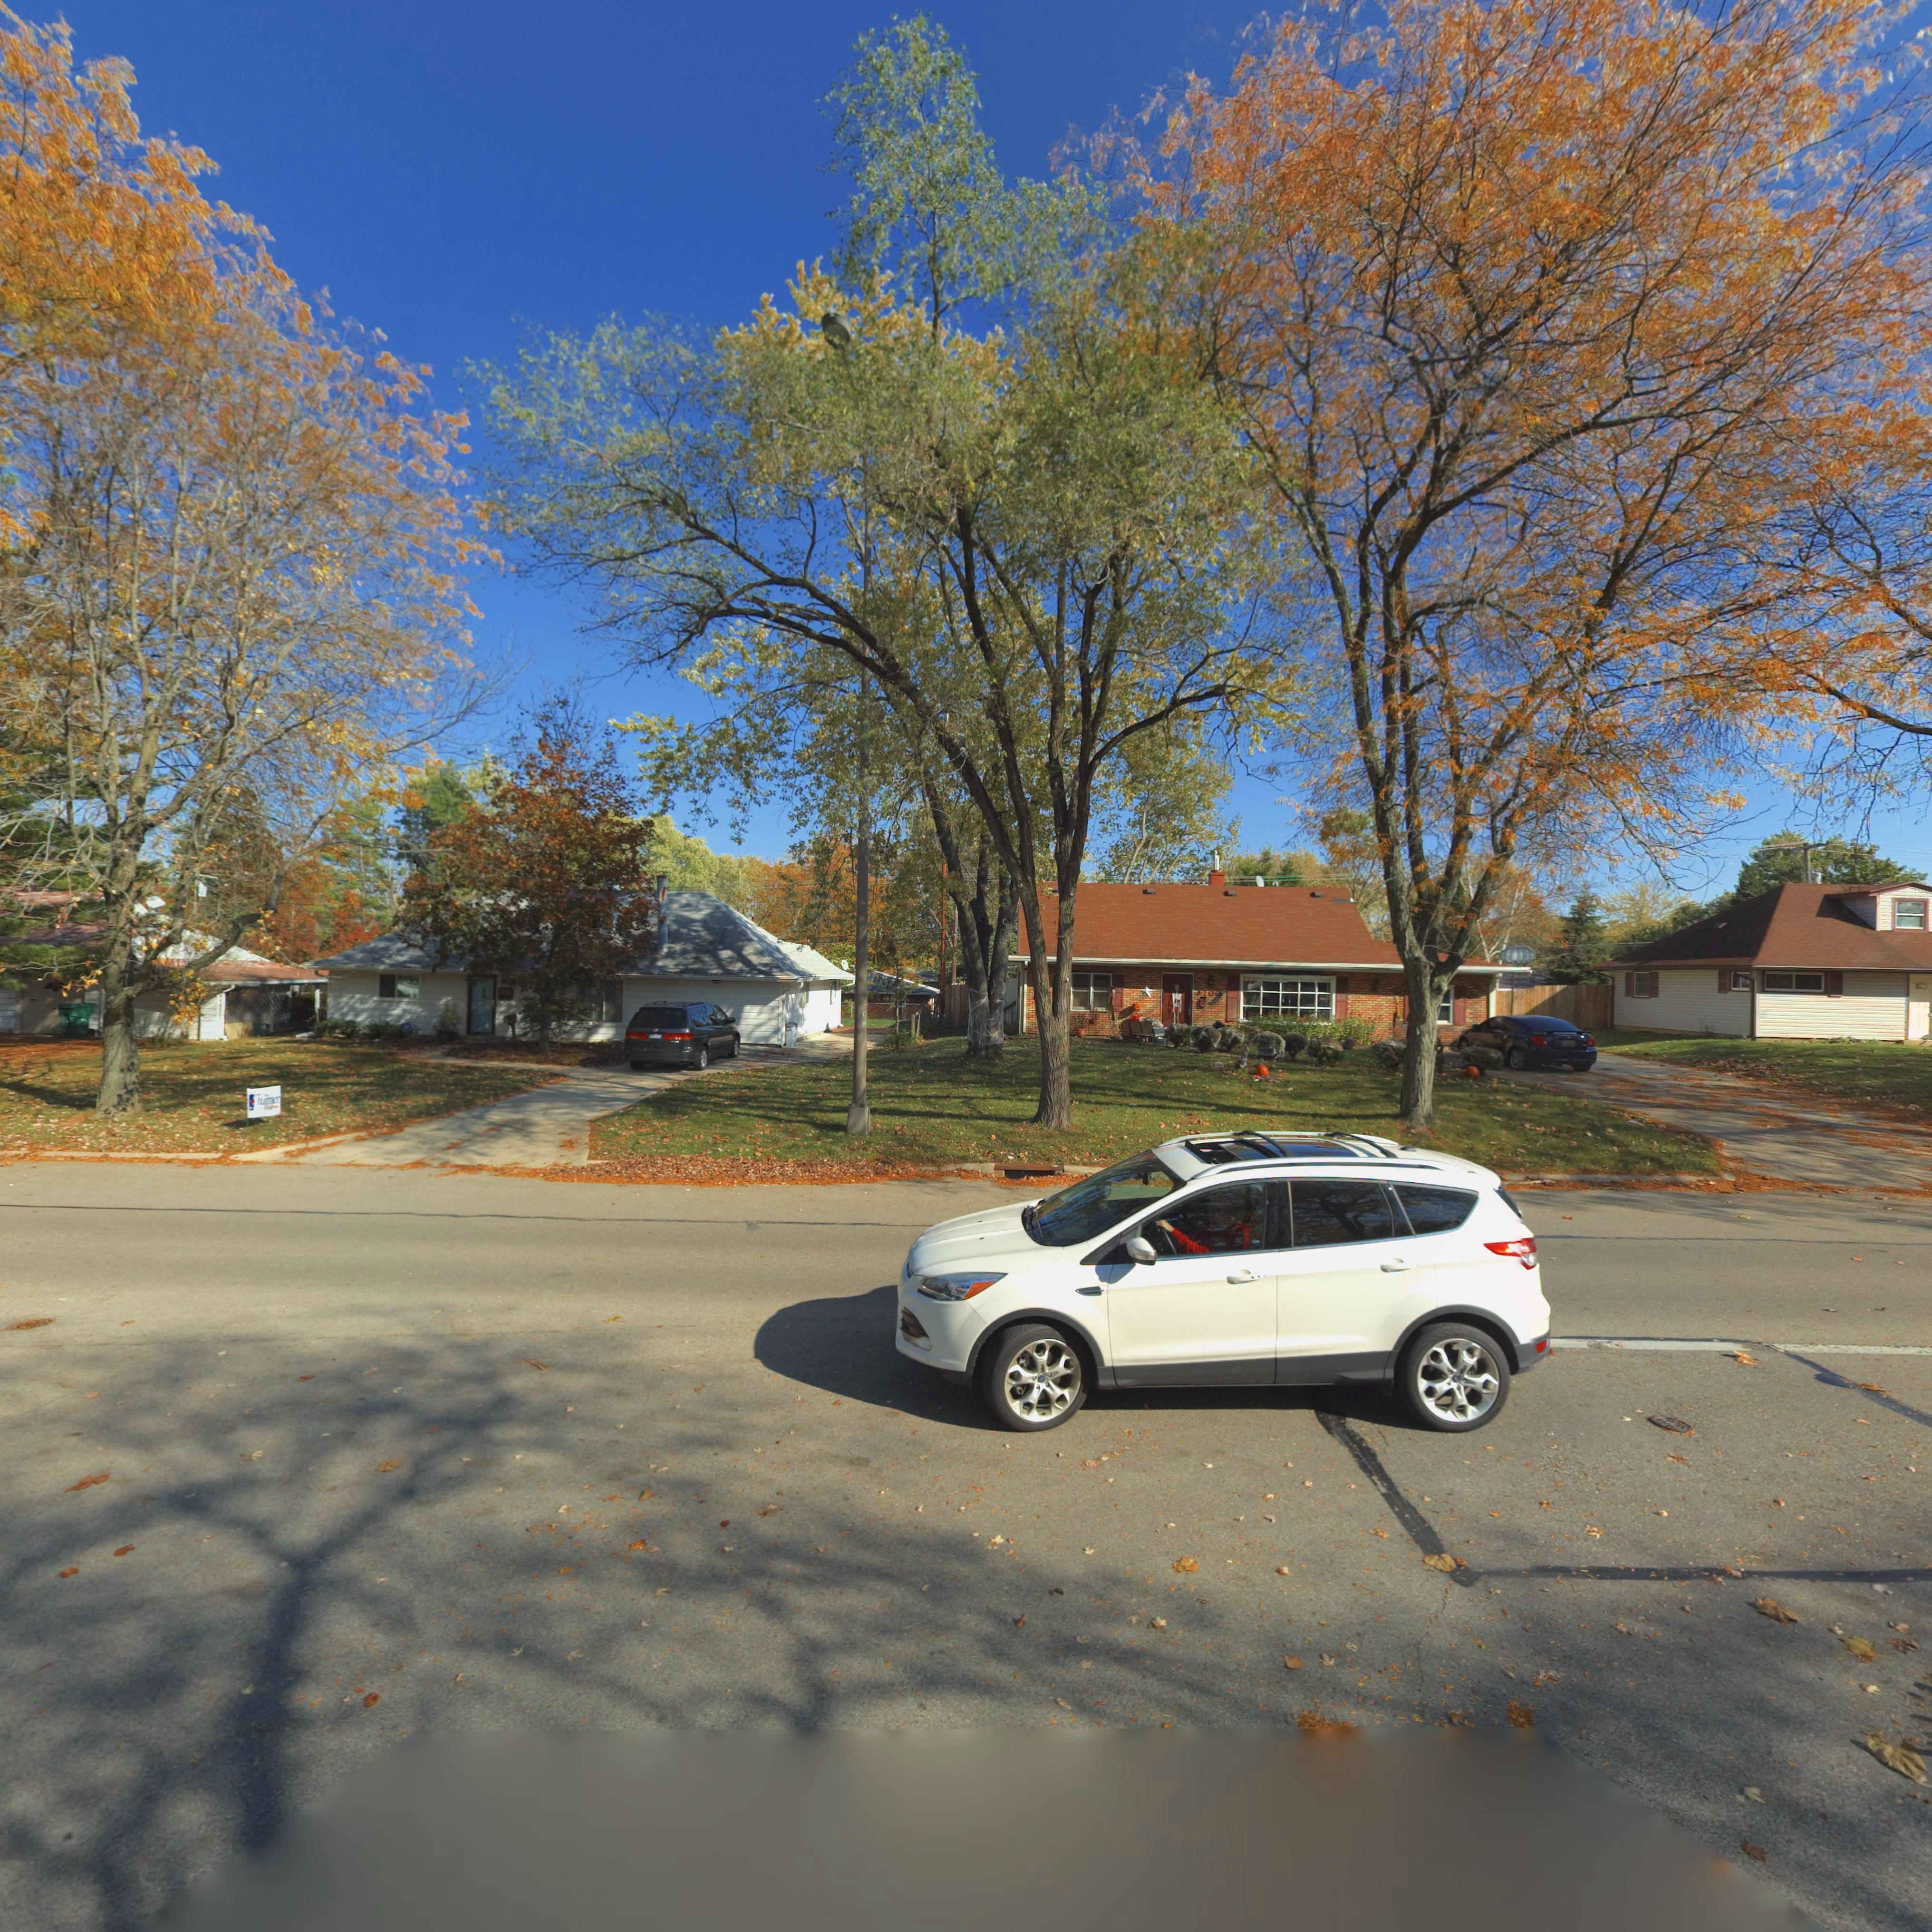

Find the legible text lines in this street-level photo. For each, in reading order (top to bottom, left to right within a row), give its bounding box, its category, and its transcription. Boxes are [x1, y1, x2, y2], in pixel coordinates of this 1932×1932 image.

[1196, 989, 1221, 996] StreetNumber: 3700
[862, 1012, 866, 1017] None: C
[861, 1021, 864, 1026] None: 5
[255, 1093, 281, 1106] None: Turner